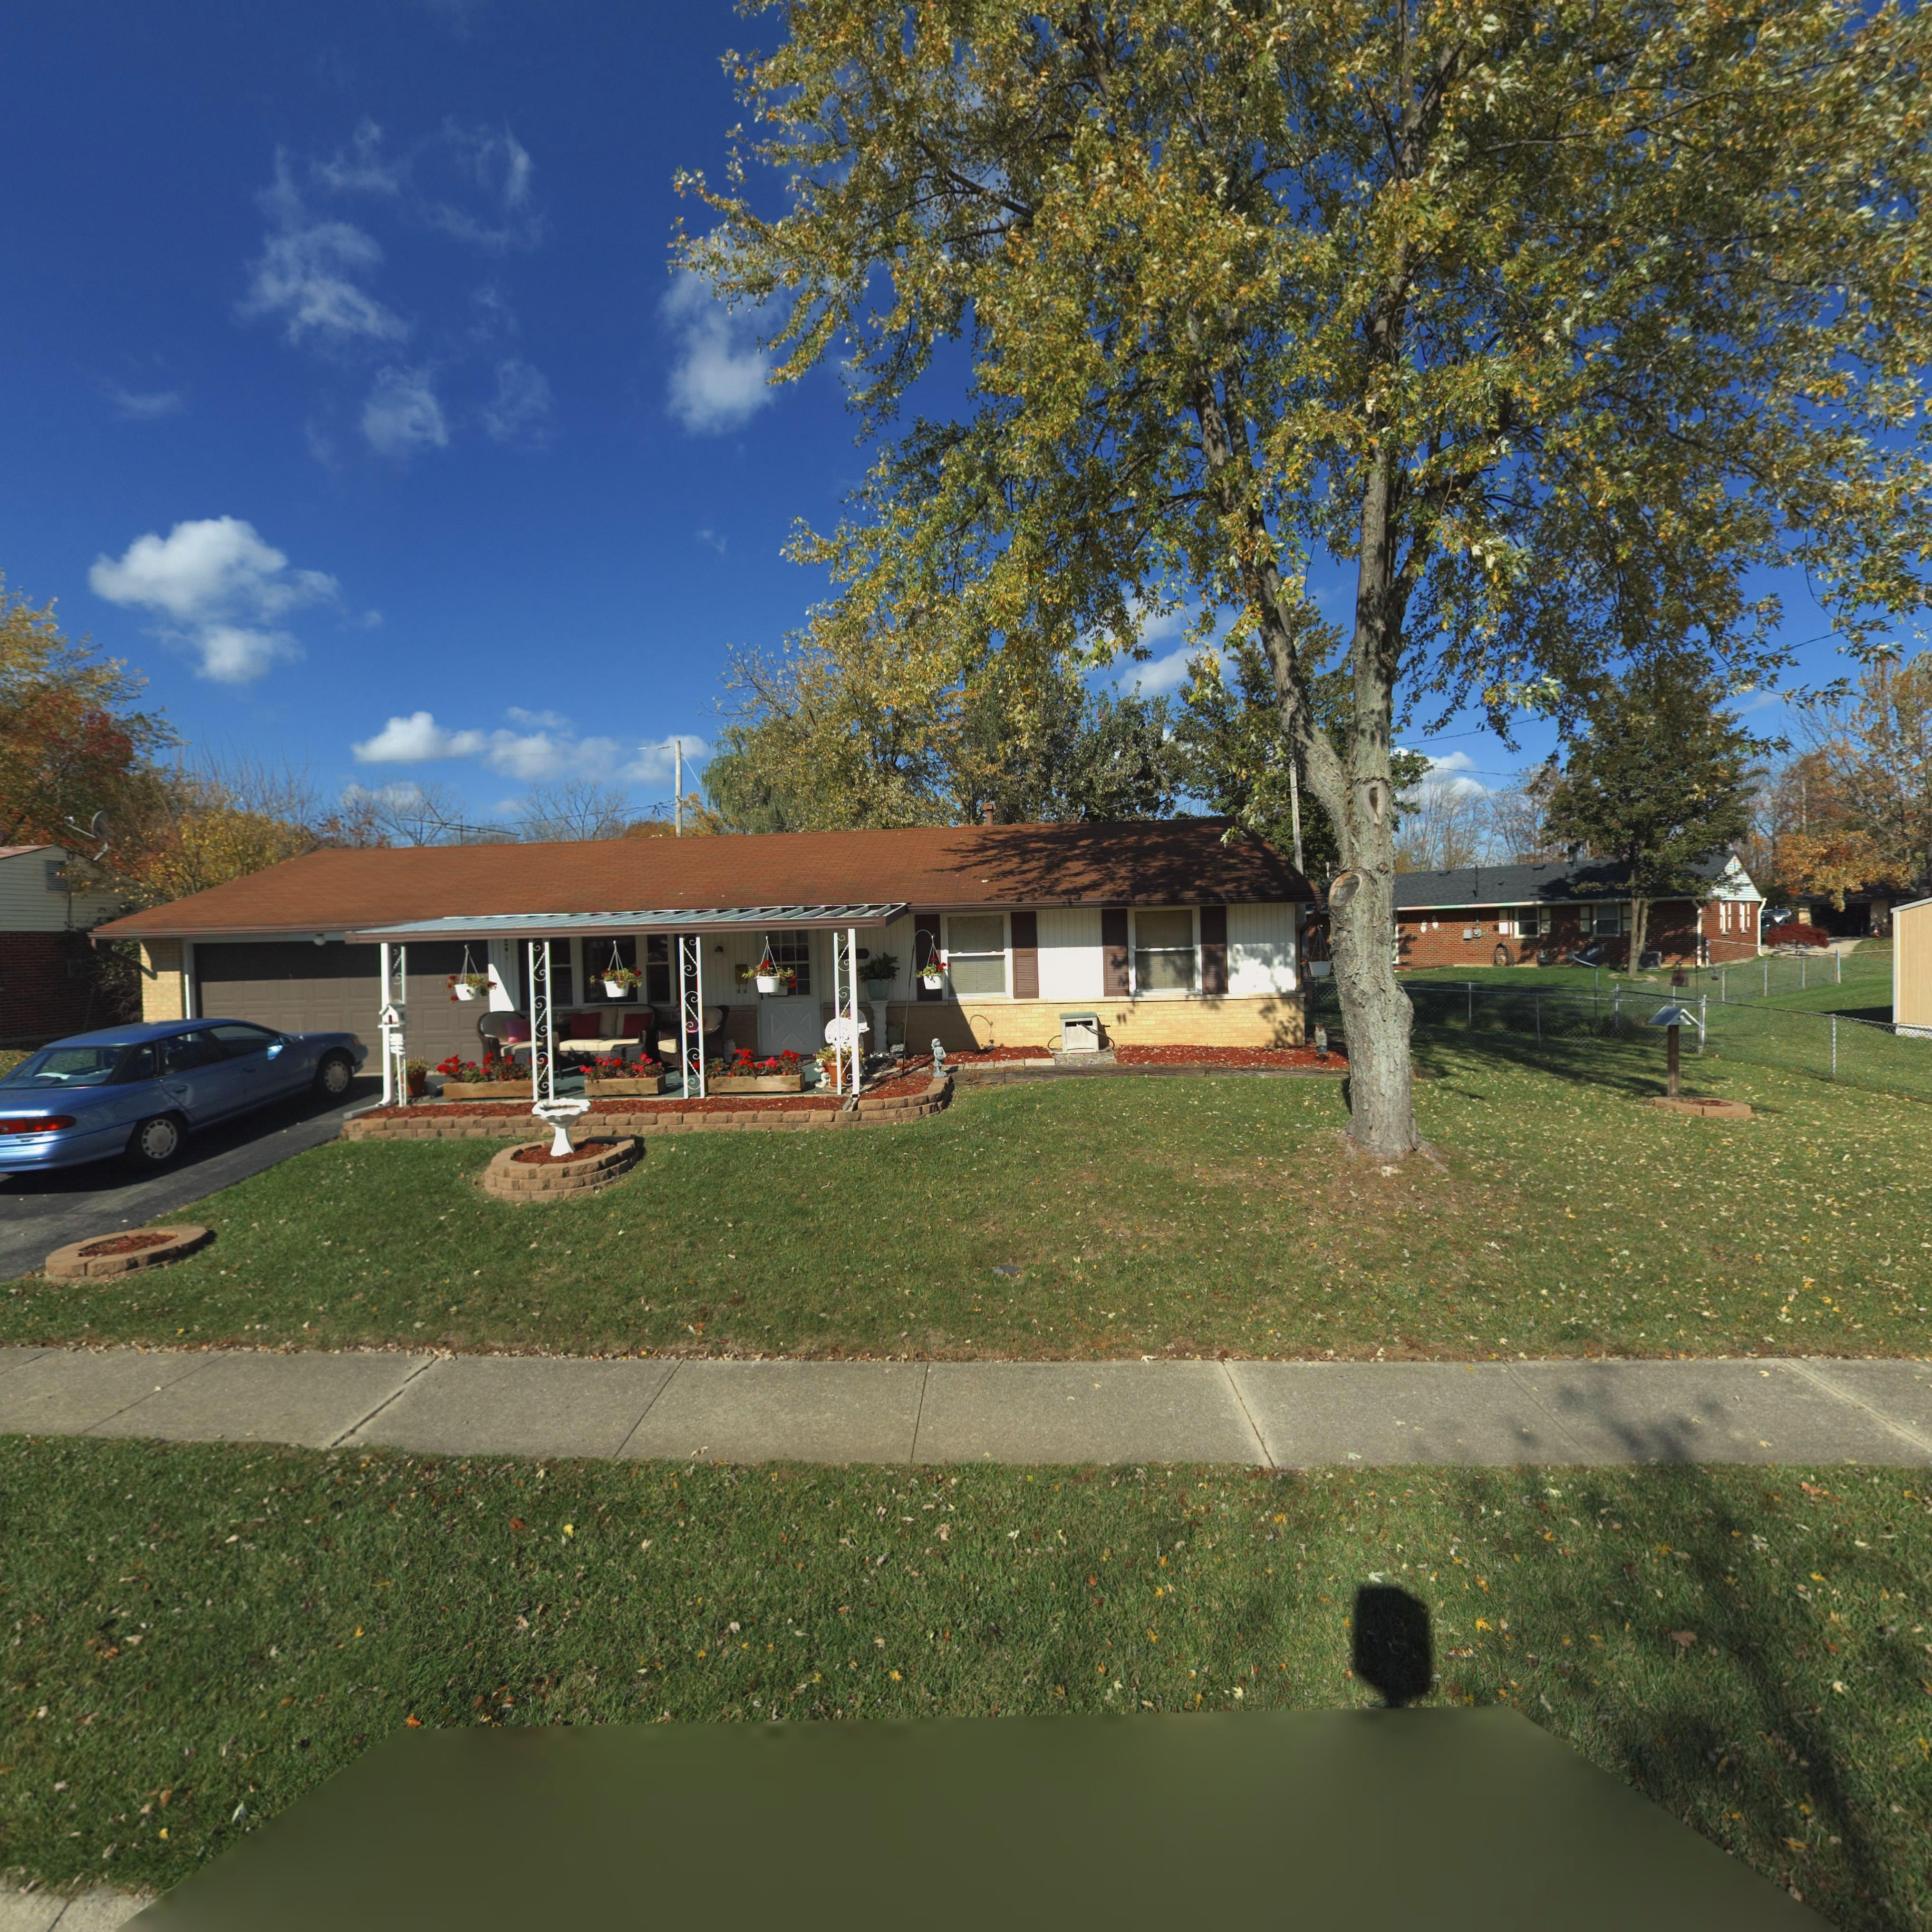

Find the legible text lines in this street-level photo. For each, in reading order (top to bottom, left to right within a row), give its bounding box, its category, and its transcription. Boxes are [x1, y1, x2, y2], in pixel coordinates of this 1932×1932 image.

[860, 949, 866, 958] StreetNumber: 3